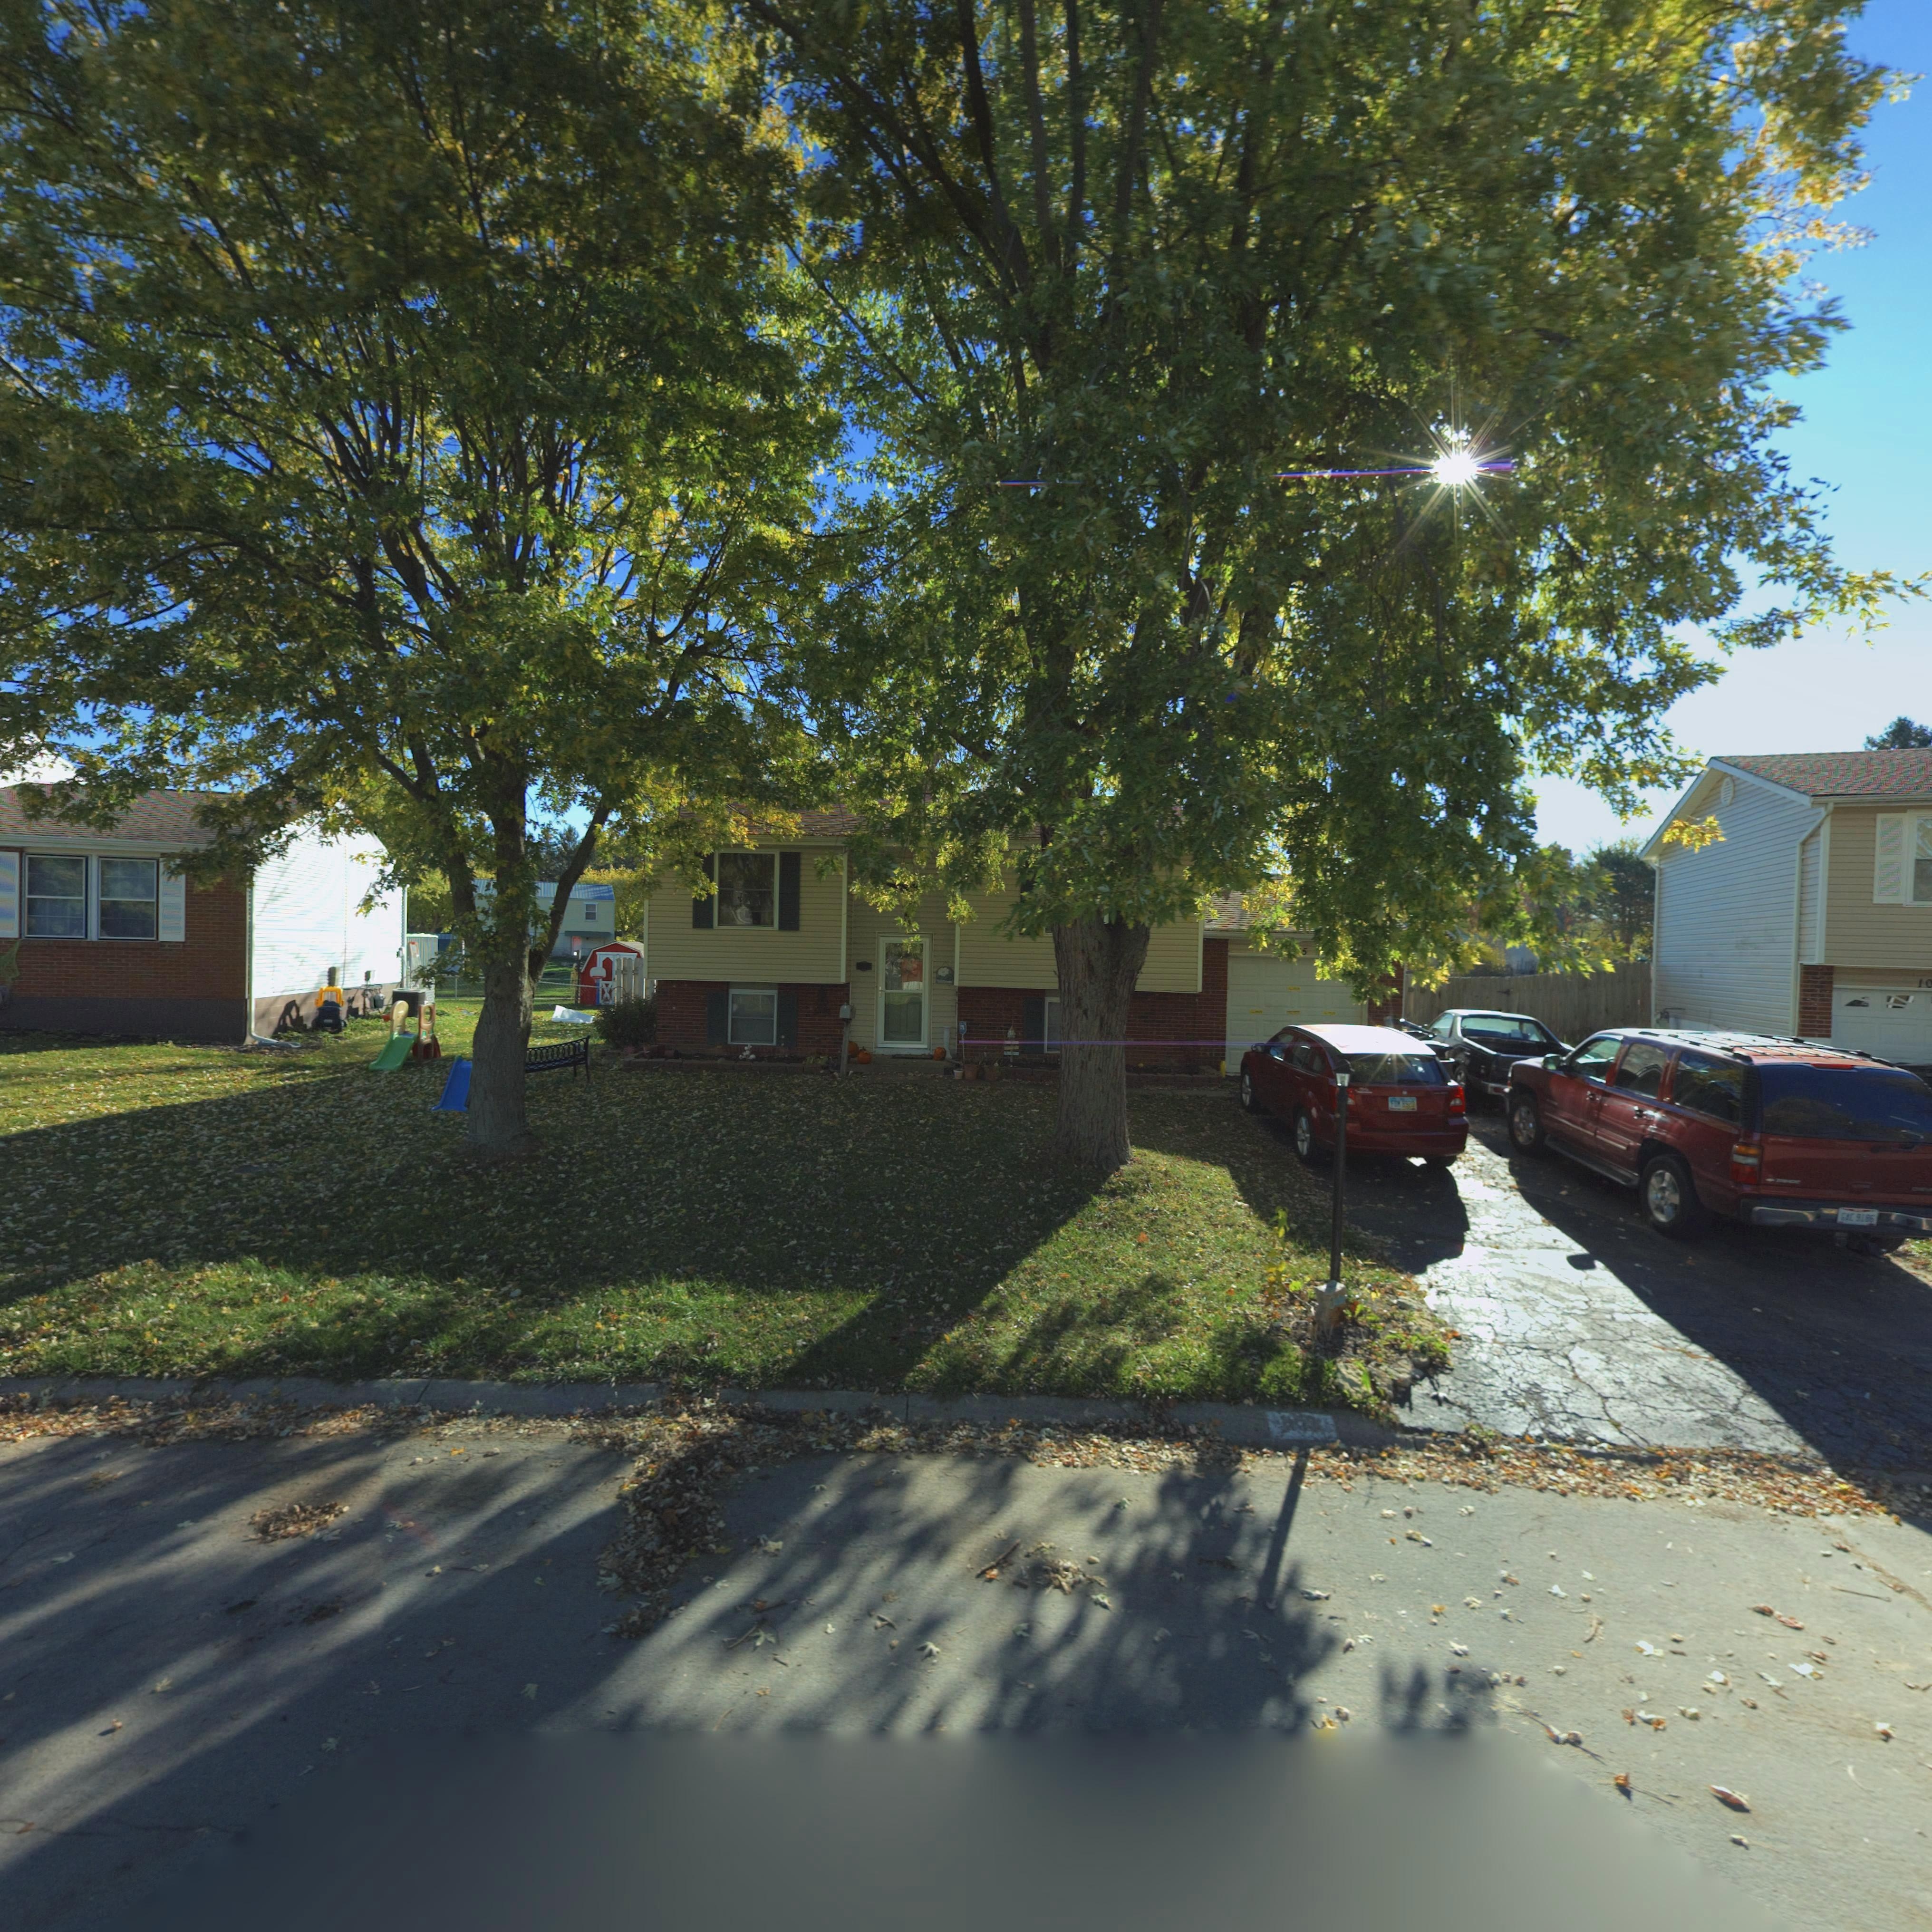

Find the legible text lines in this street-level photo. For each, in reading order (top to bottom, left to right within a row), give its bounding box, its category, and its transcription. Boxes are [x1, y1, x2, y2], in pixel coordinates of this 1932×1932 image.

[1301, 947, 1308, 956] StreetNumber: 5
[1917, 978, 1924, 988] StreetNumber: 1